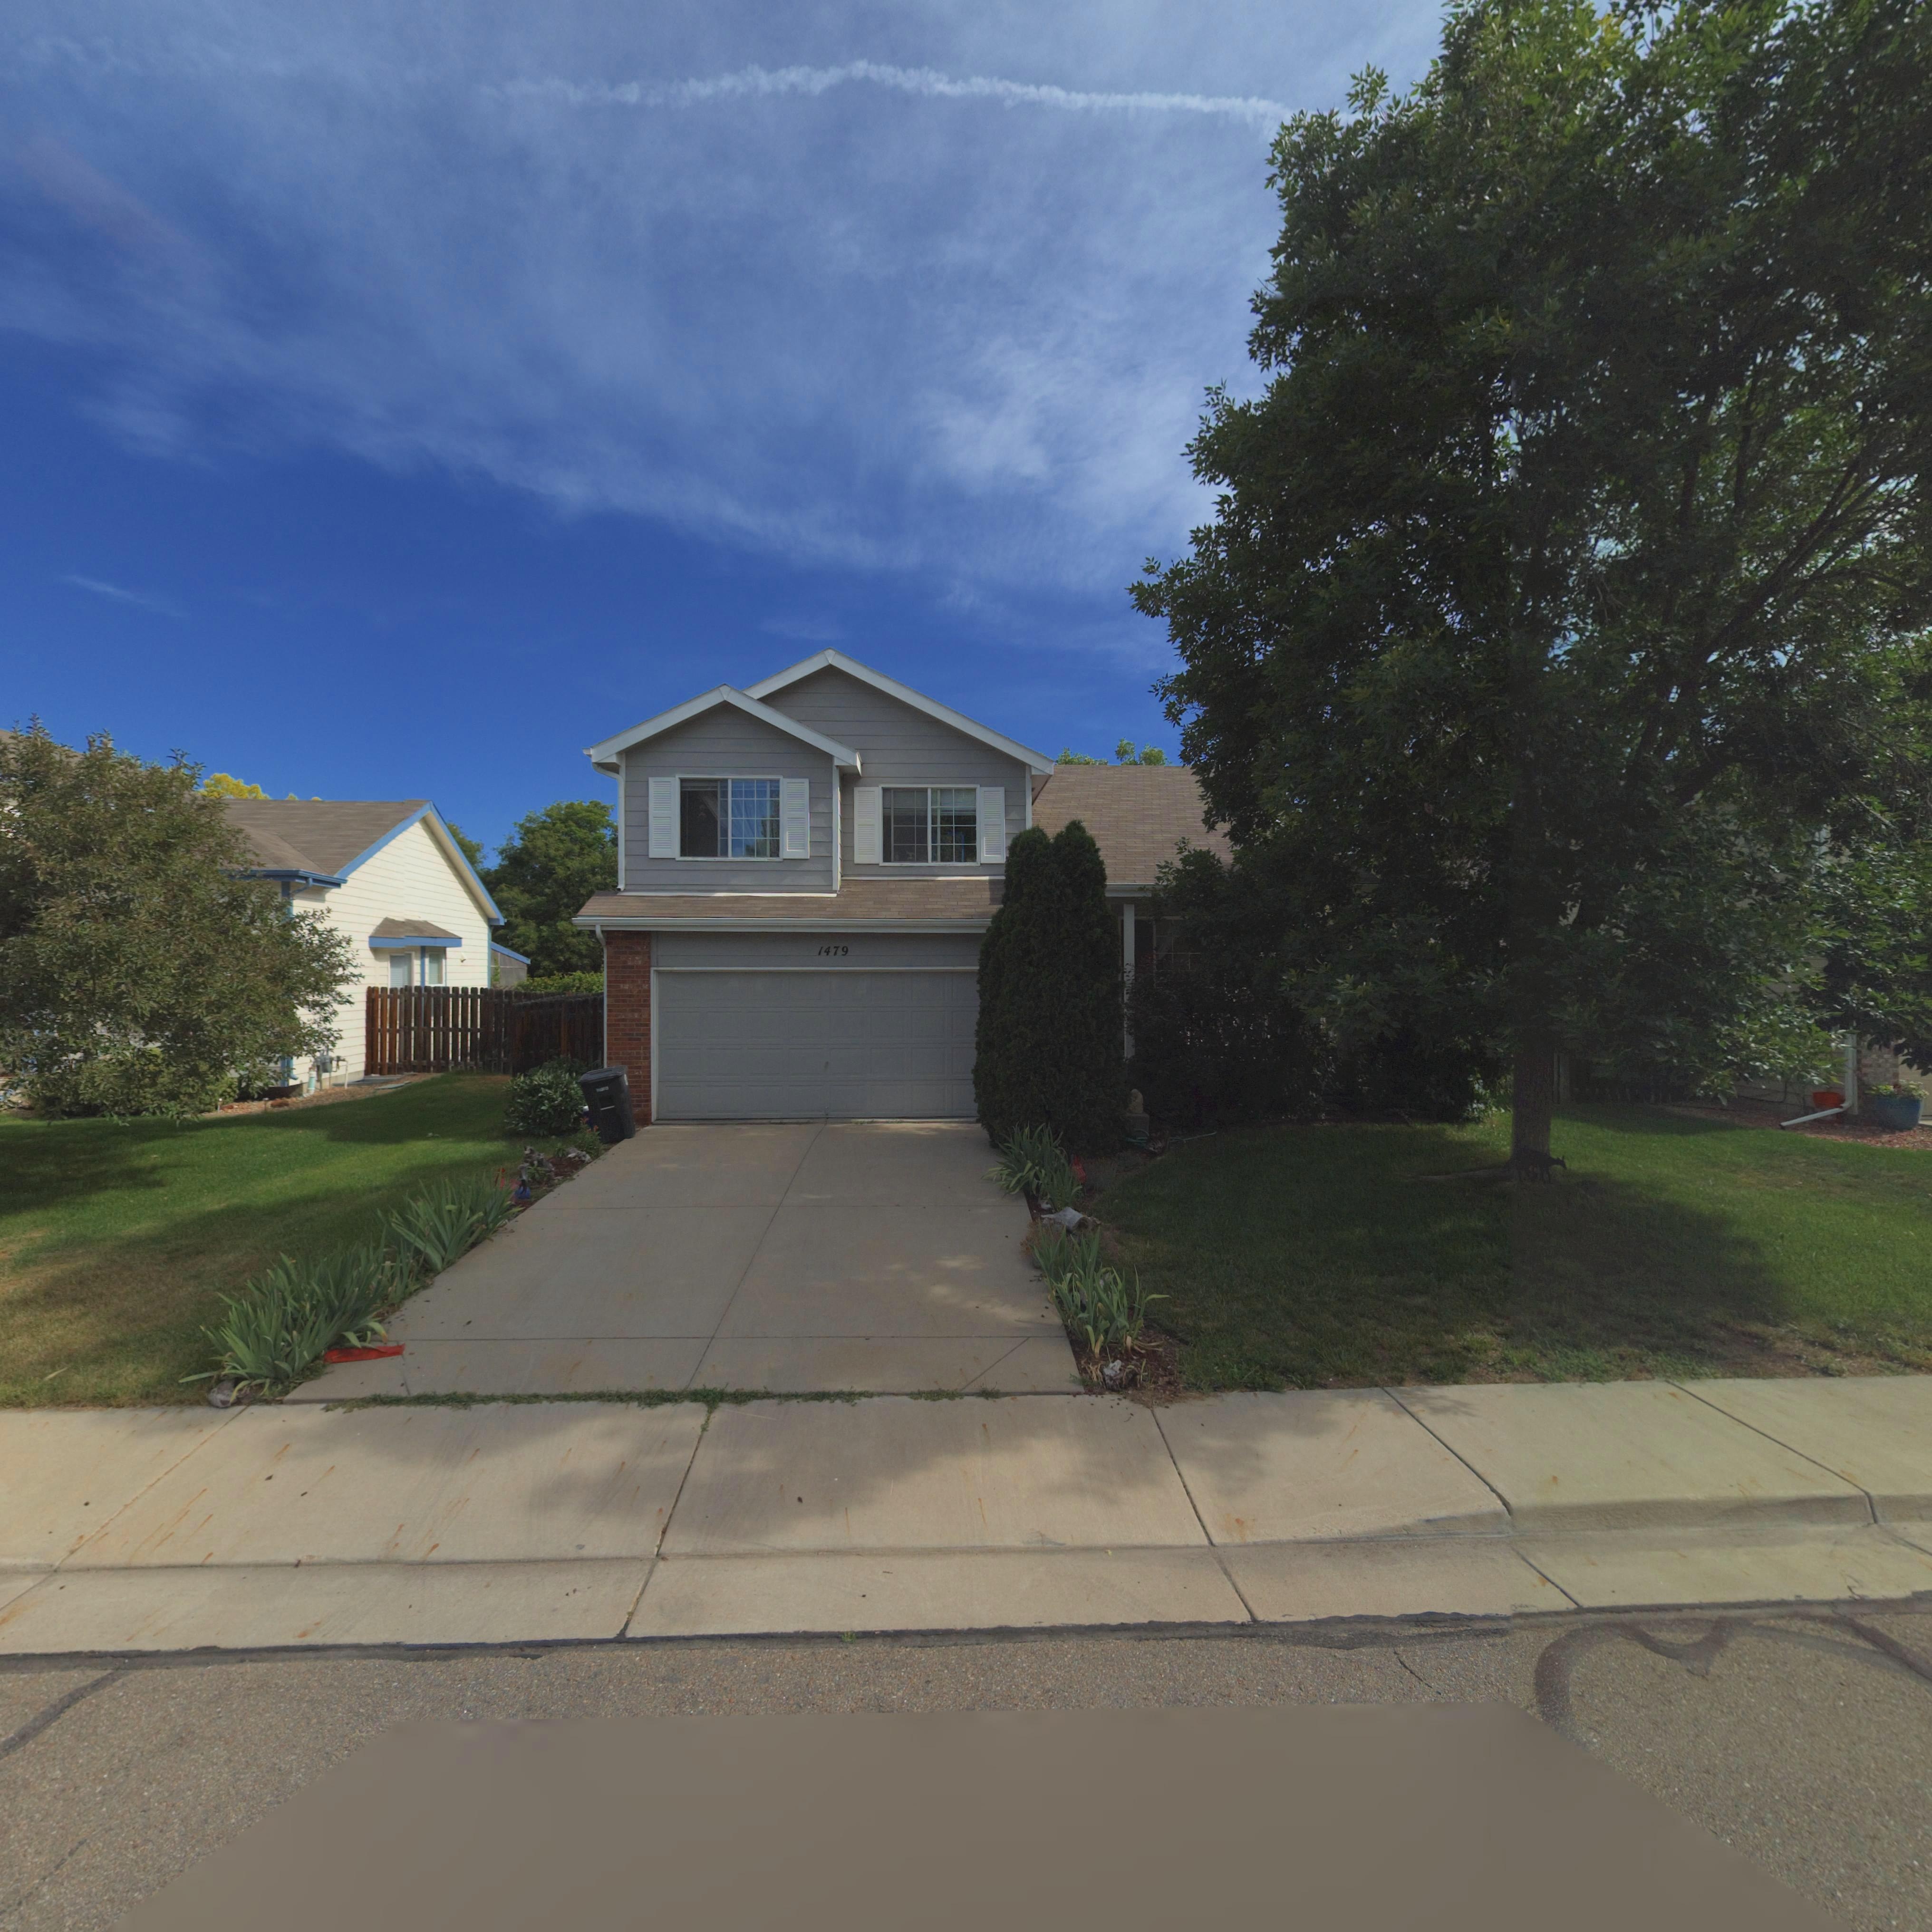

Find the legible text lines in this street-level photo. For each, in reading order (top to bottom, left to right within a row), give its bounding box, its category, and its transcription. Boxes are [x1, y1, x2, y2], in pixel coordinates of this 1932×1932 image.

[817, 945, 849, 956] StreetNumber: 1479